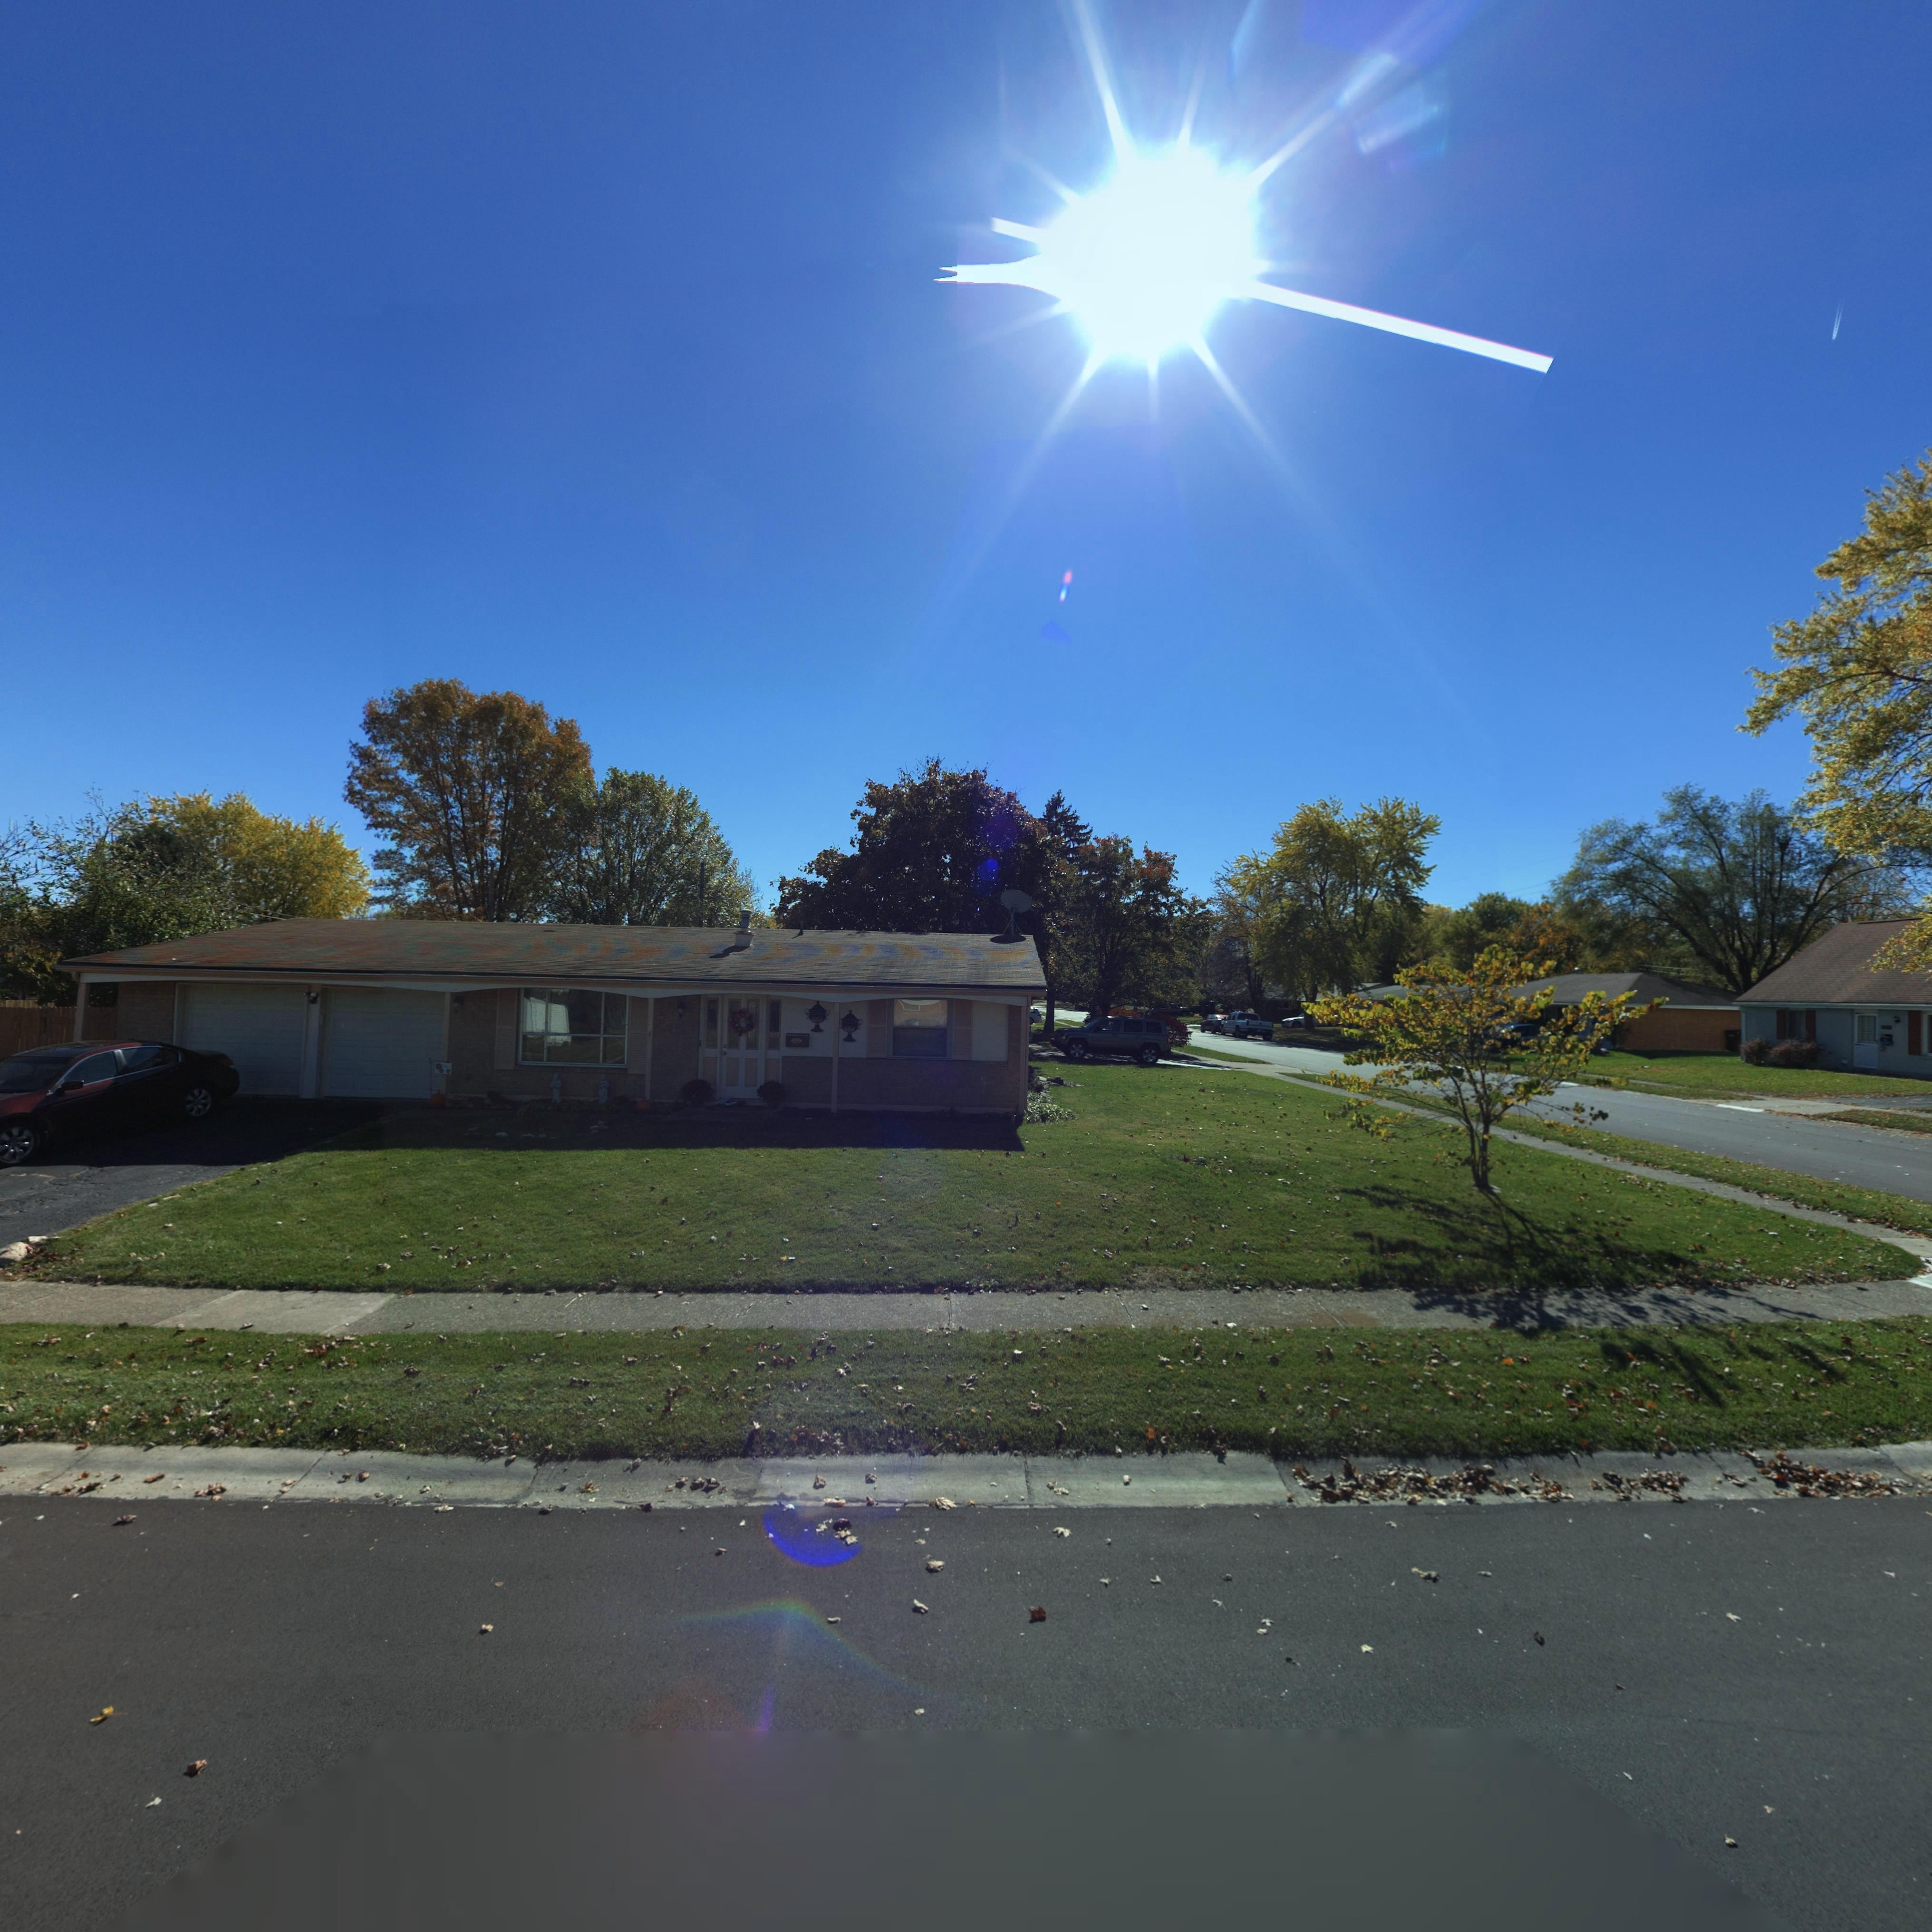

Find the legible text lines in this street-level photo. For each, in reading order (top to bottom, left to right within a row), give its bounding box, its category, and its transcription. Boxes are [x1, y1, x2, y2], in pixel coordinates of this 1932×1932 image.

[647, 1016, 652, 1037] StreetNumber: 344